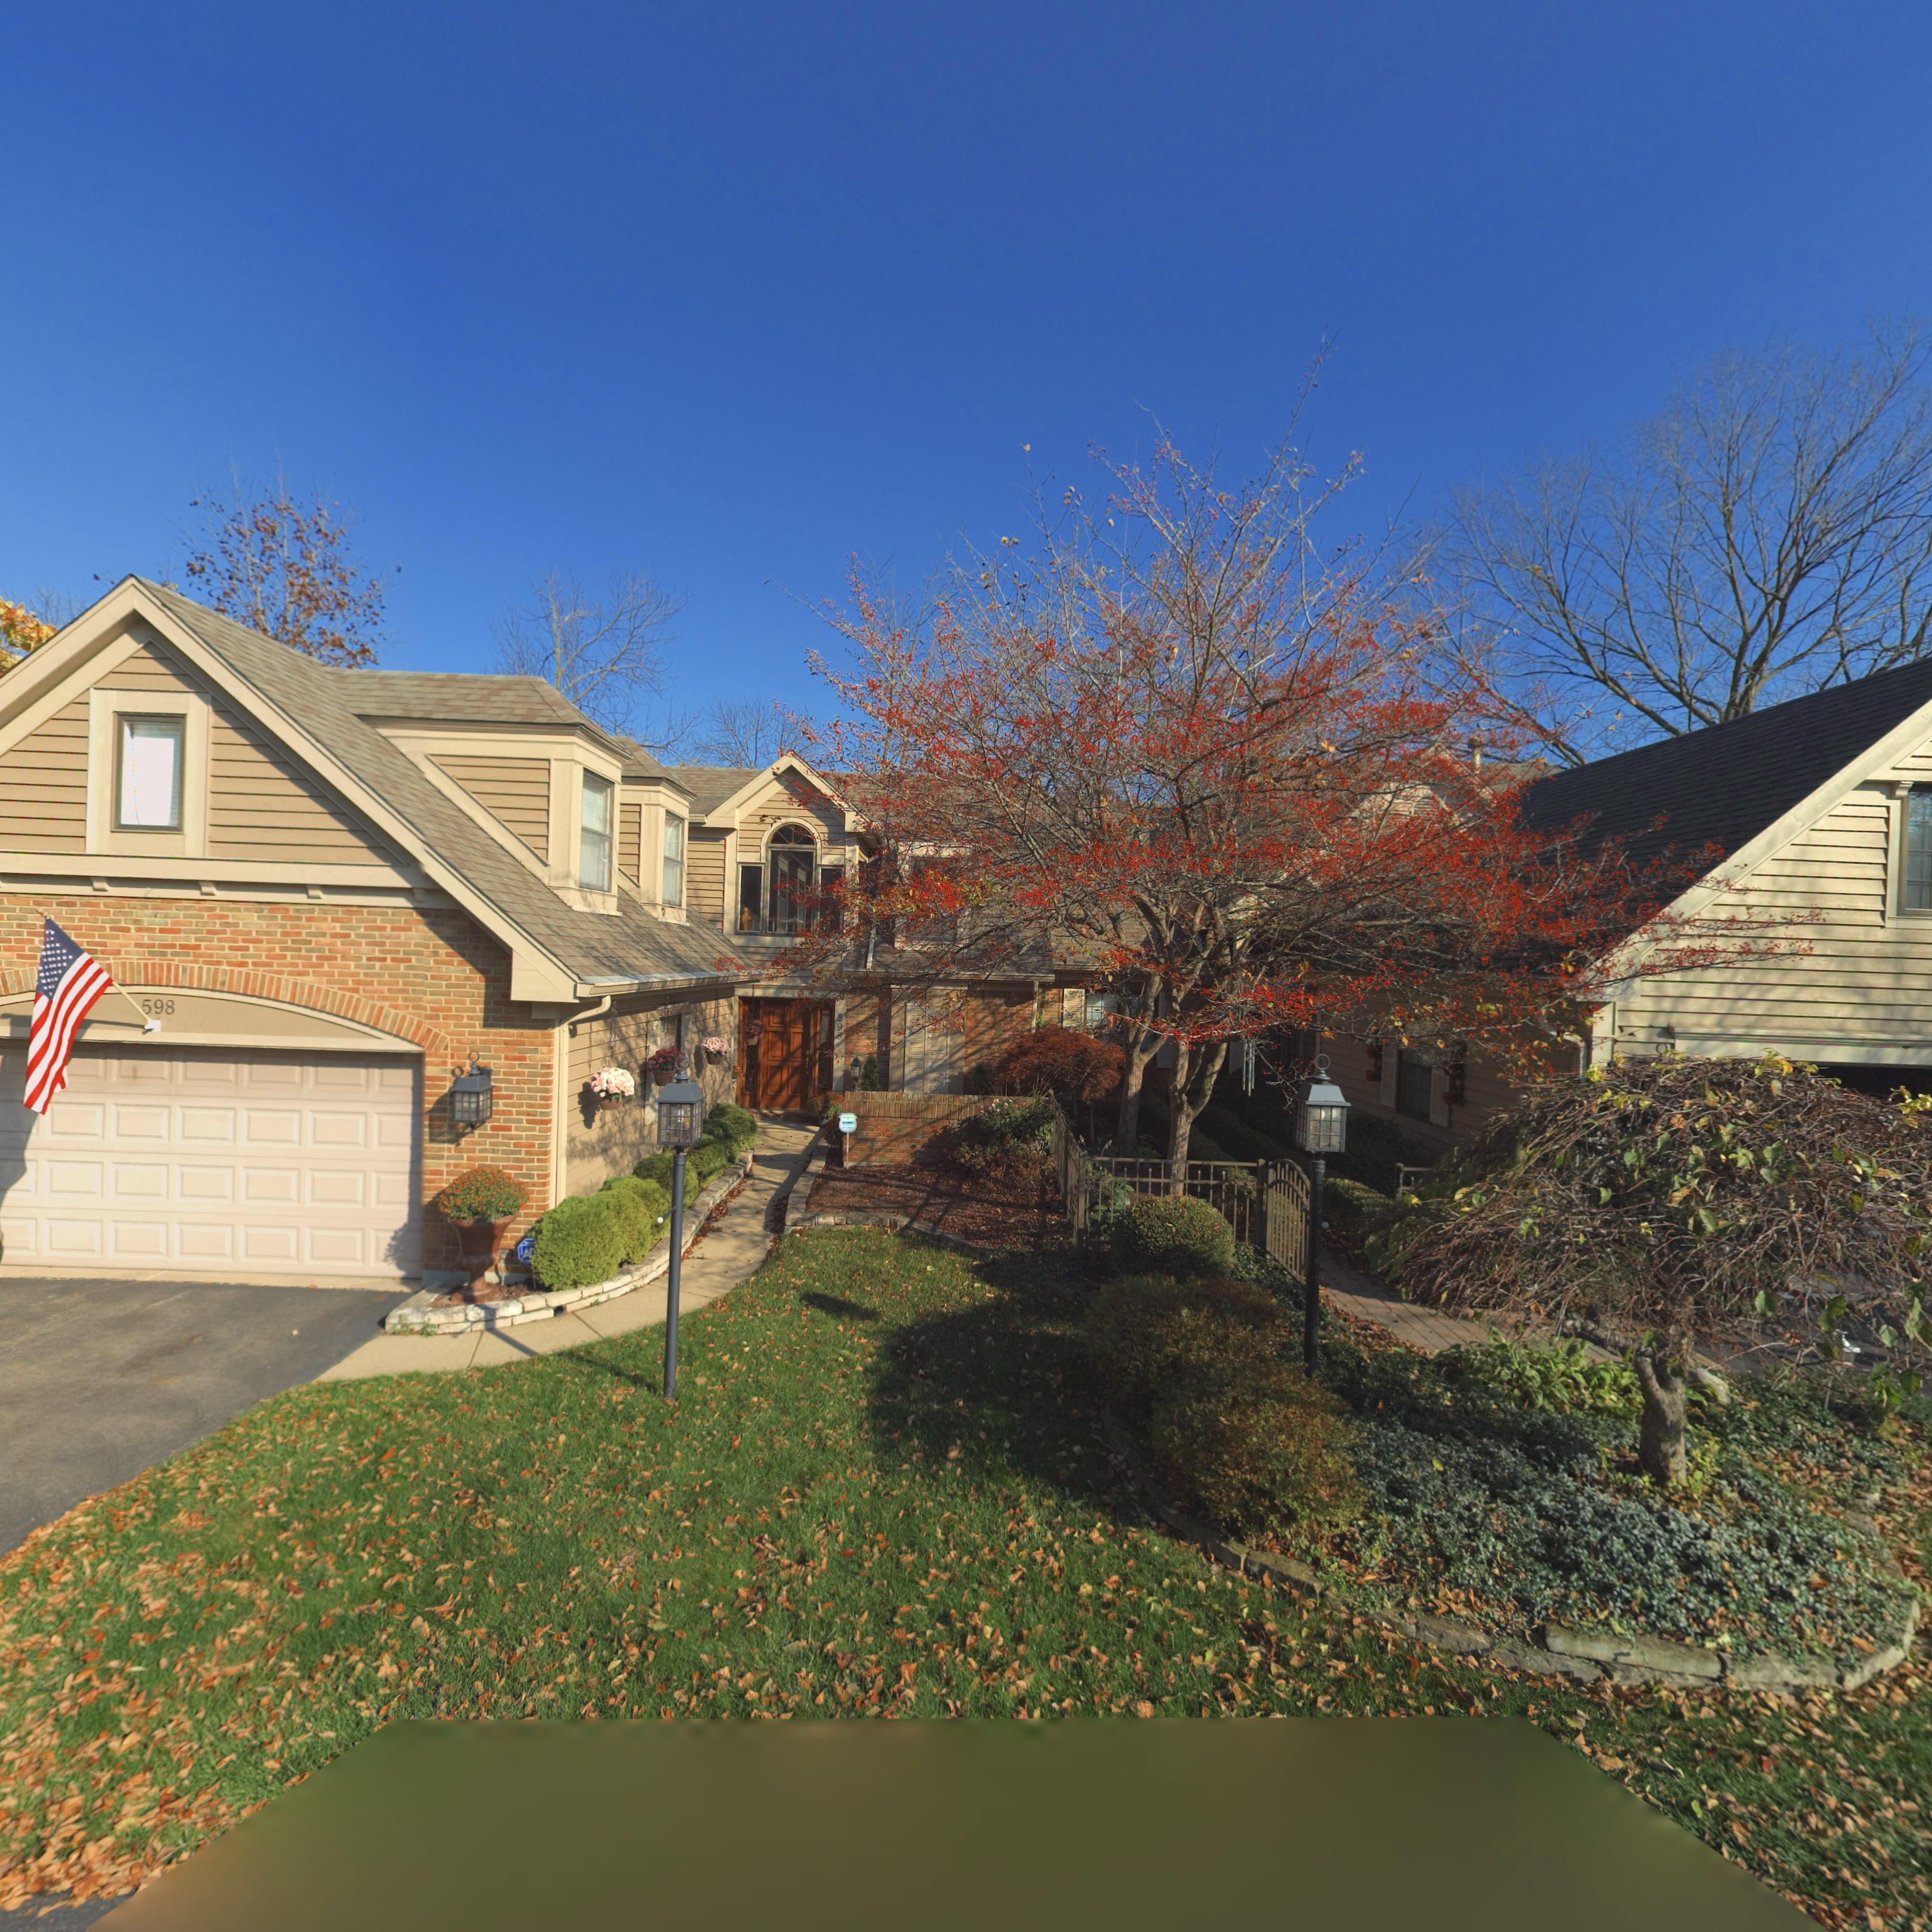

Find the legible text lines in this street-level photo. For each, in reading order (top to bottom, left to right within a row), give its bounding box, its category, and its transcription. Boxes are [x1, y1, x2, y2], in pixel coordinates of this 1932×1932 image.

[141, 998, 175, 1016] StreetNumber: 598
[836, 1013, 843, 1040] StreetNumber: 598